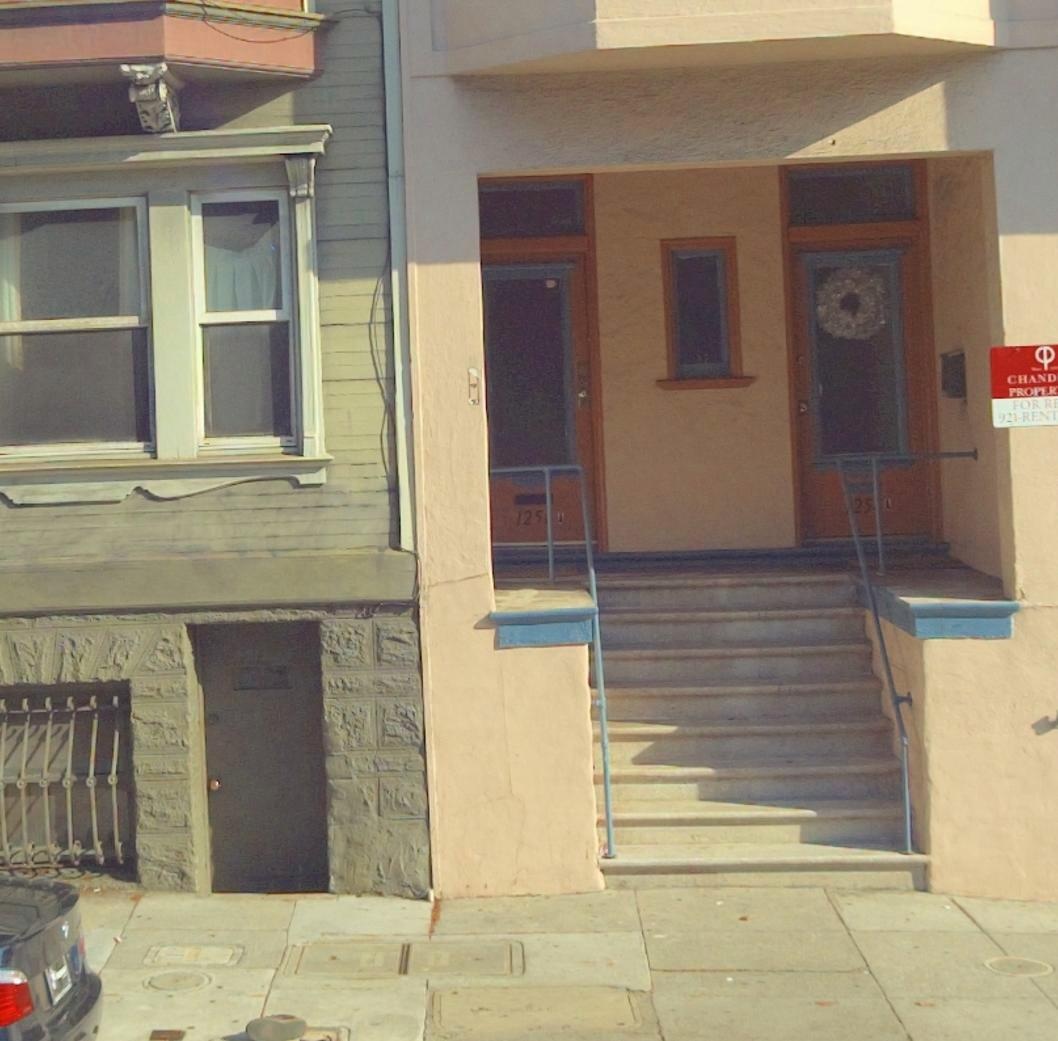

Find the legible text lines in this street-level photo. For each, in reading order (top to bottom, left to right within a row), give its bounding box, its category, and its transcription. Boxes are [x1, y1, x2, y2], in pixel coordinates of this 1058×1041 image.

[1007, 373, 1057, 385] BusinessName: GHAN
[1008, 385, 1057, 398] BusinessName: PROPER
[1010, 397, 1052, 410] None: FOR R
[995, 409, 1058, 425] None: 921-RENT
[851, 496, 874, 513] StreetNumber: 25
[514, 506, 554, 528] StreetNumber: 125*